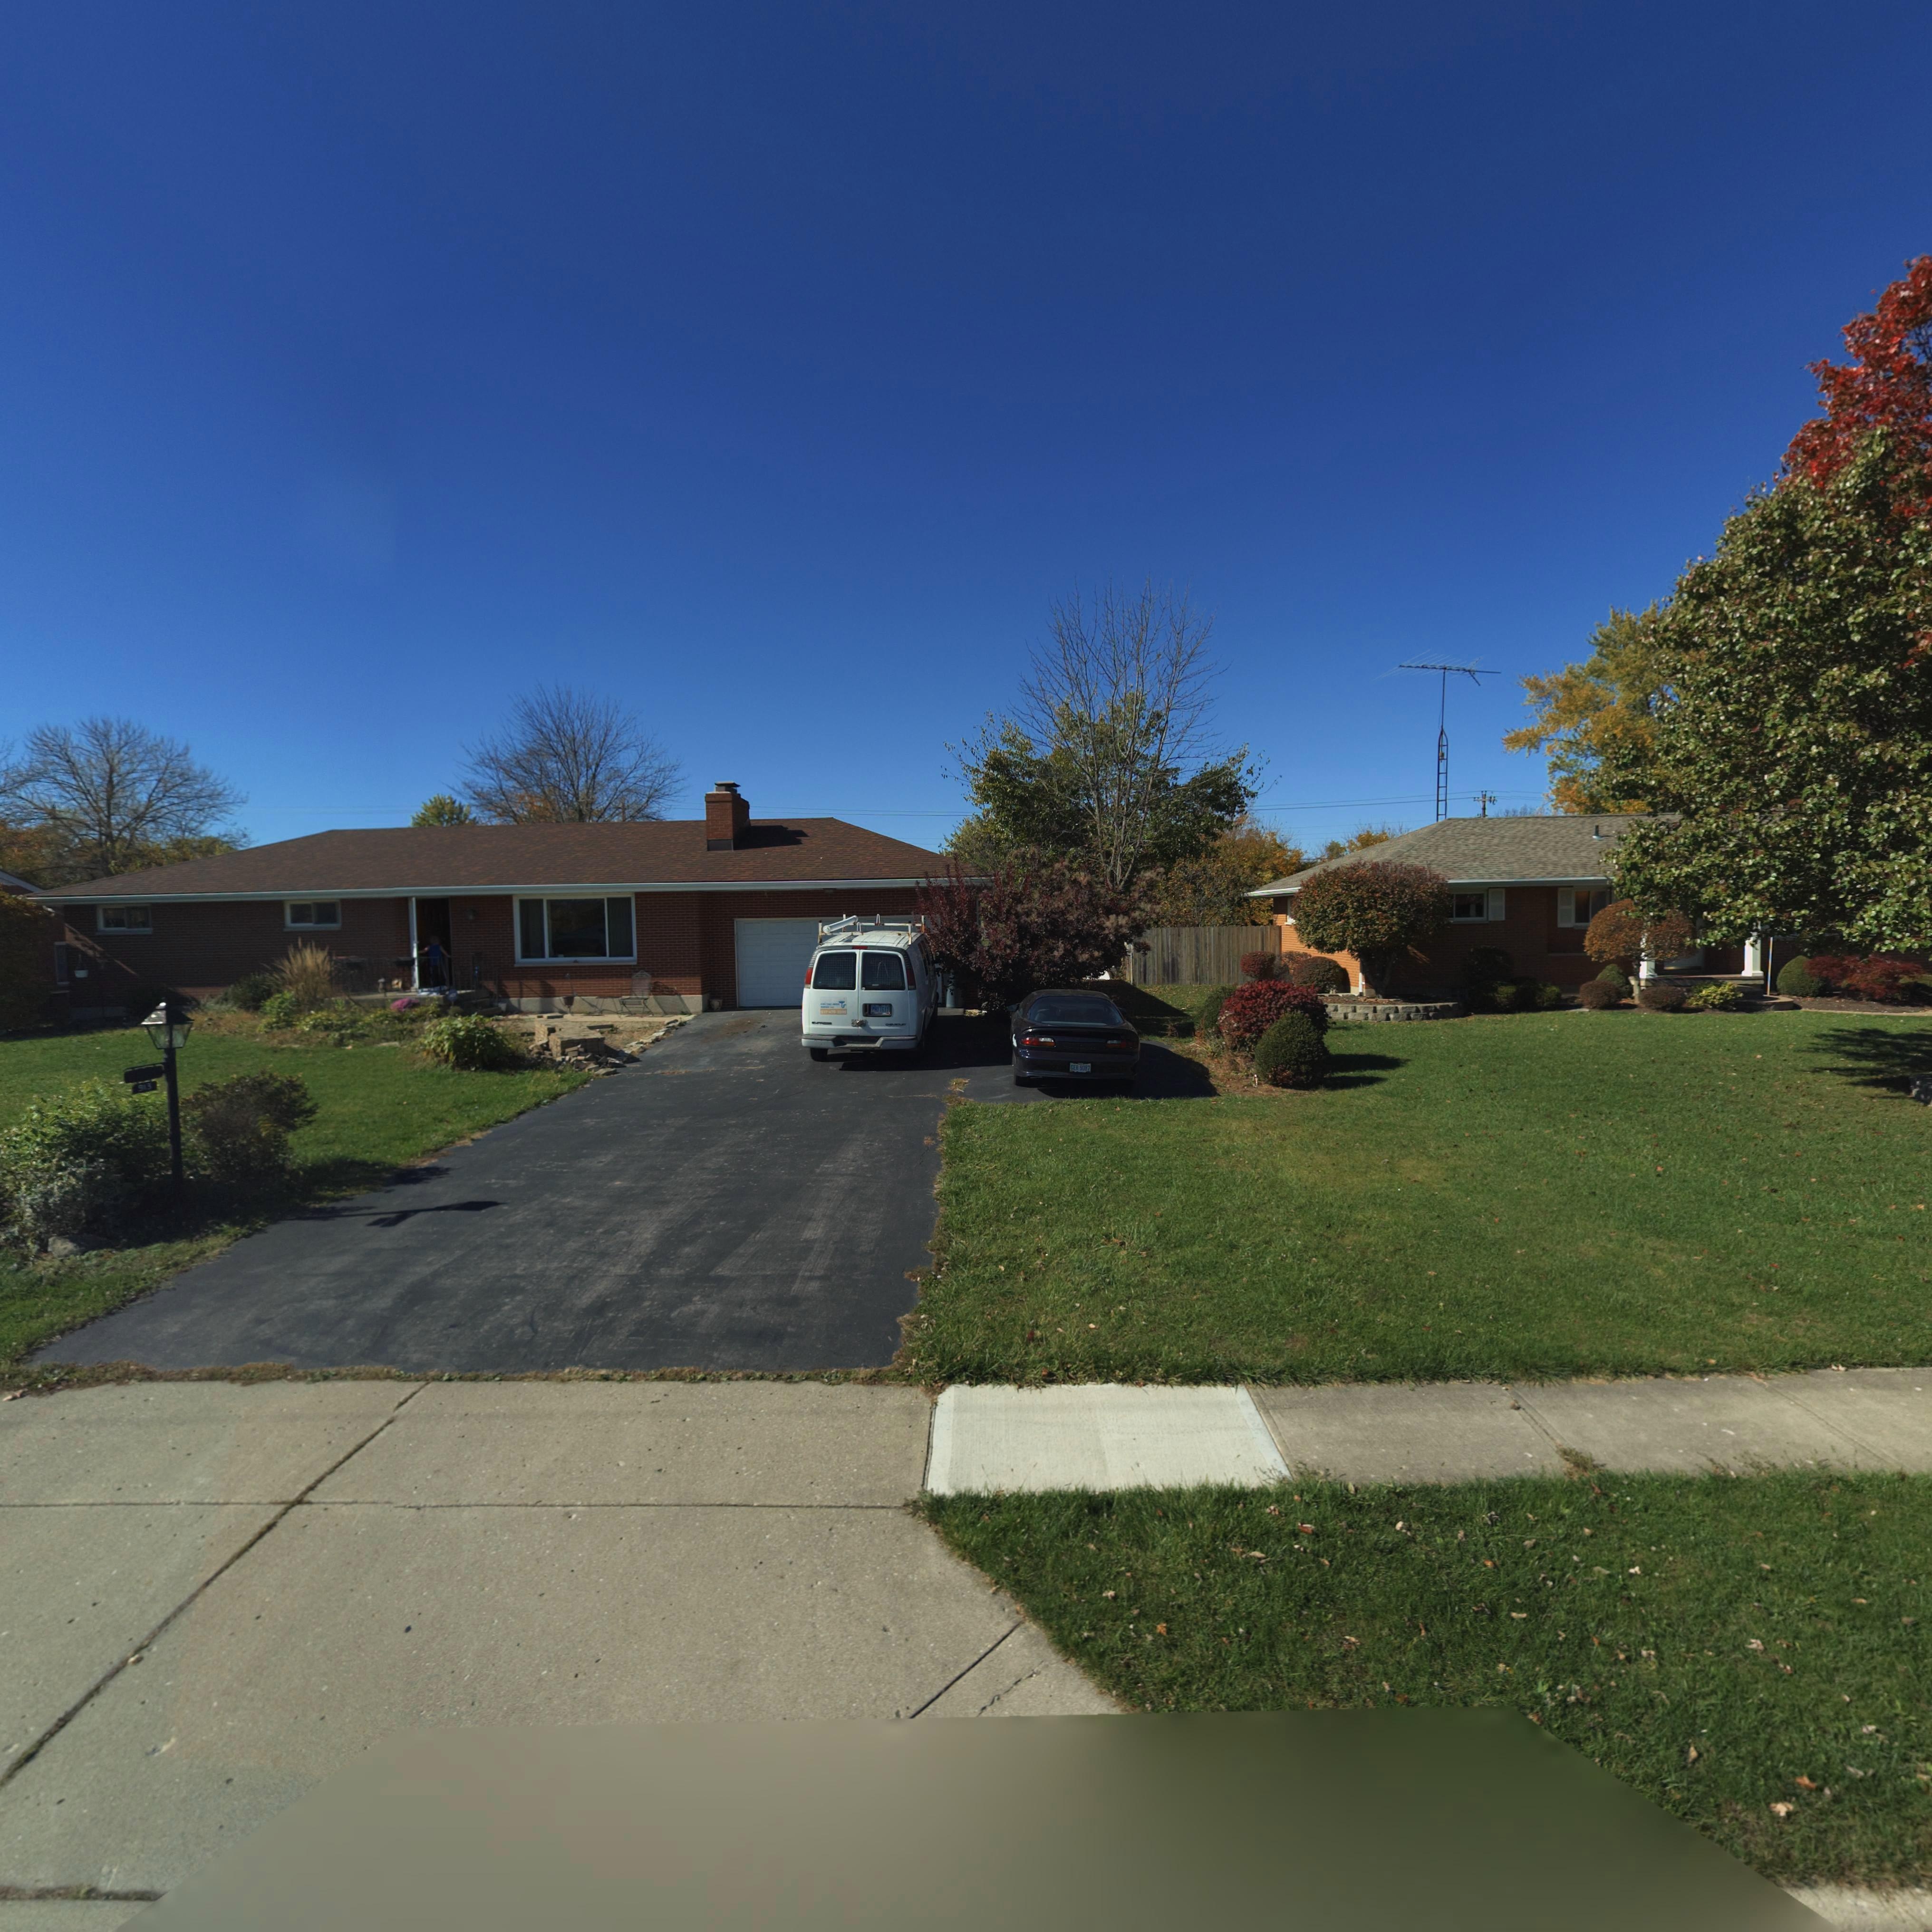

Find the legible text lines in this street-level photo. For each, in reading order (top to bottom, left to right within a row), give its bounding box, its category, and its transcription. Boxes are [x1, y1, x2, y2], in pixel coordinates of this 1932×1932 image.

[136, 1082, 153, 1093] StreetNumber: 9*3